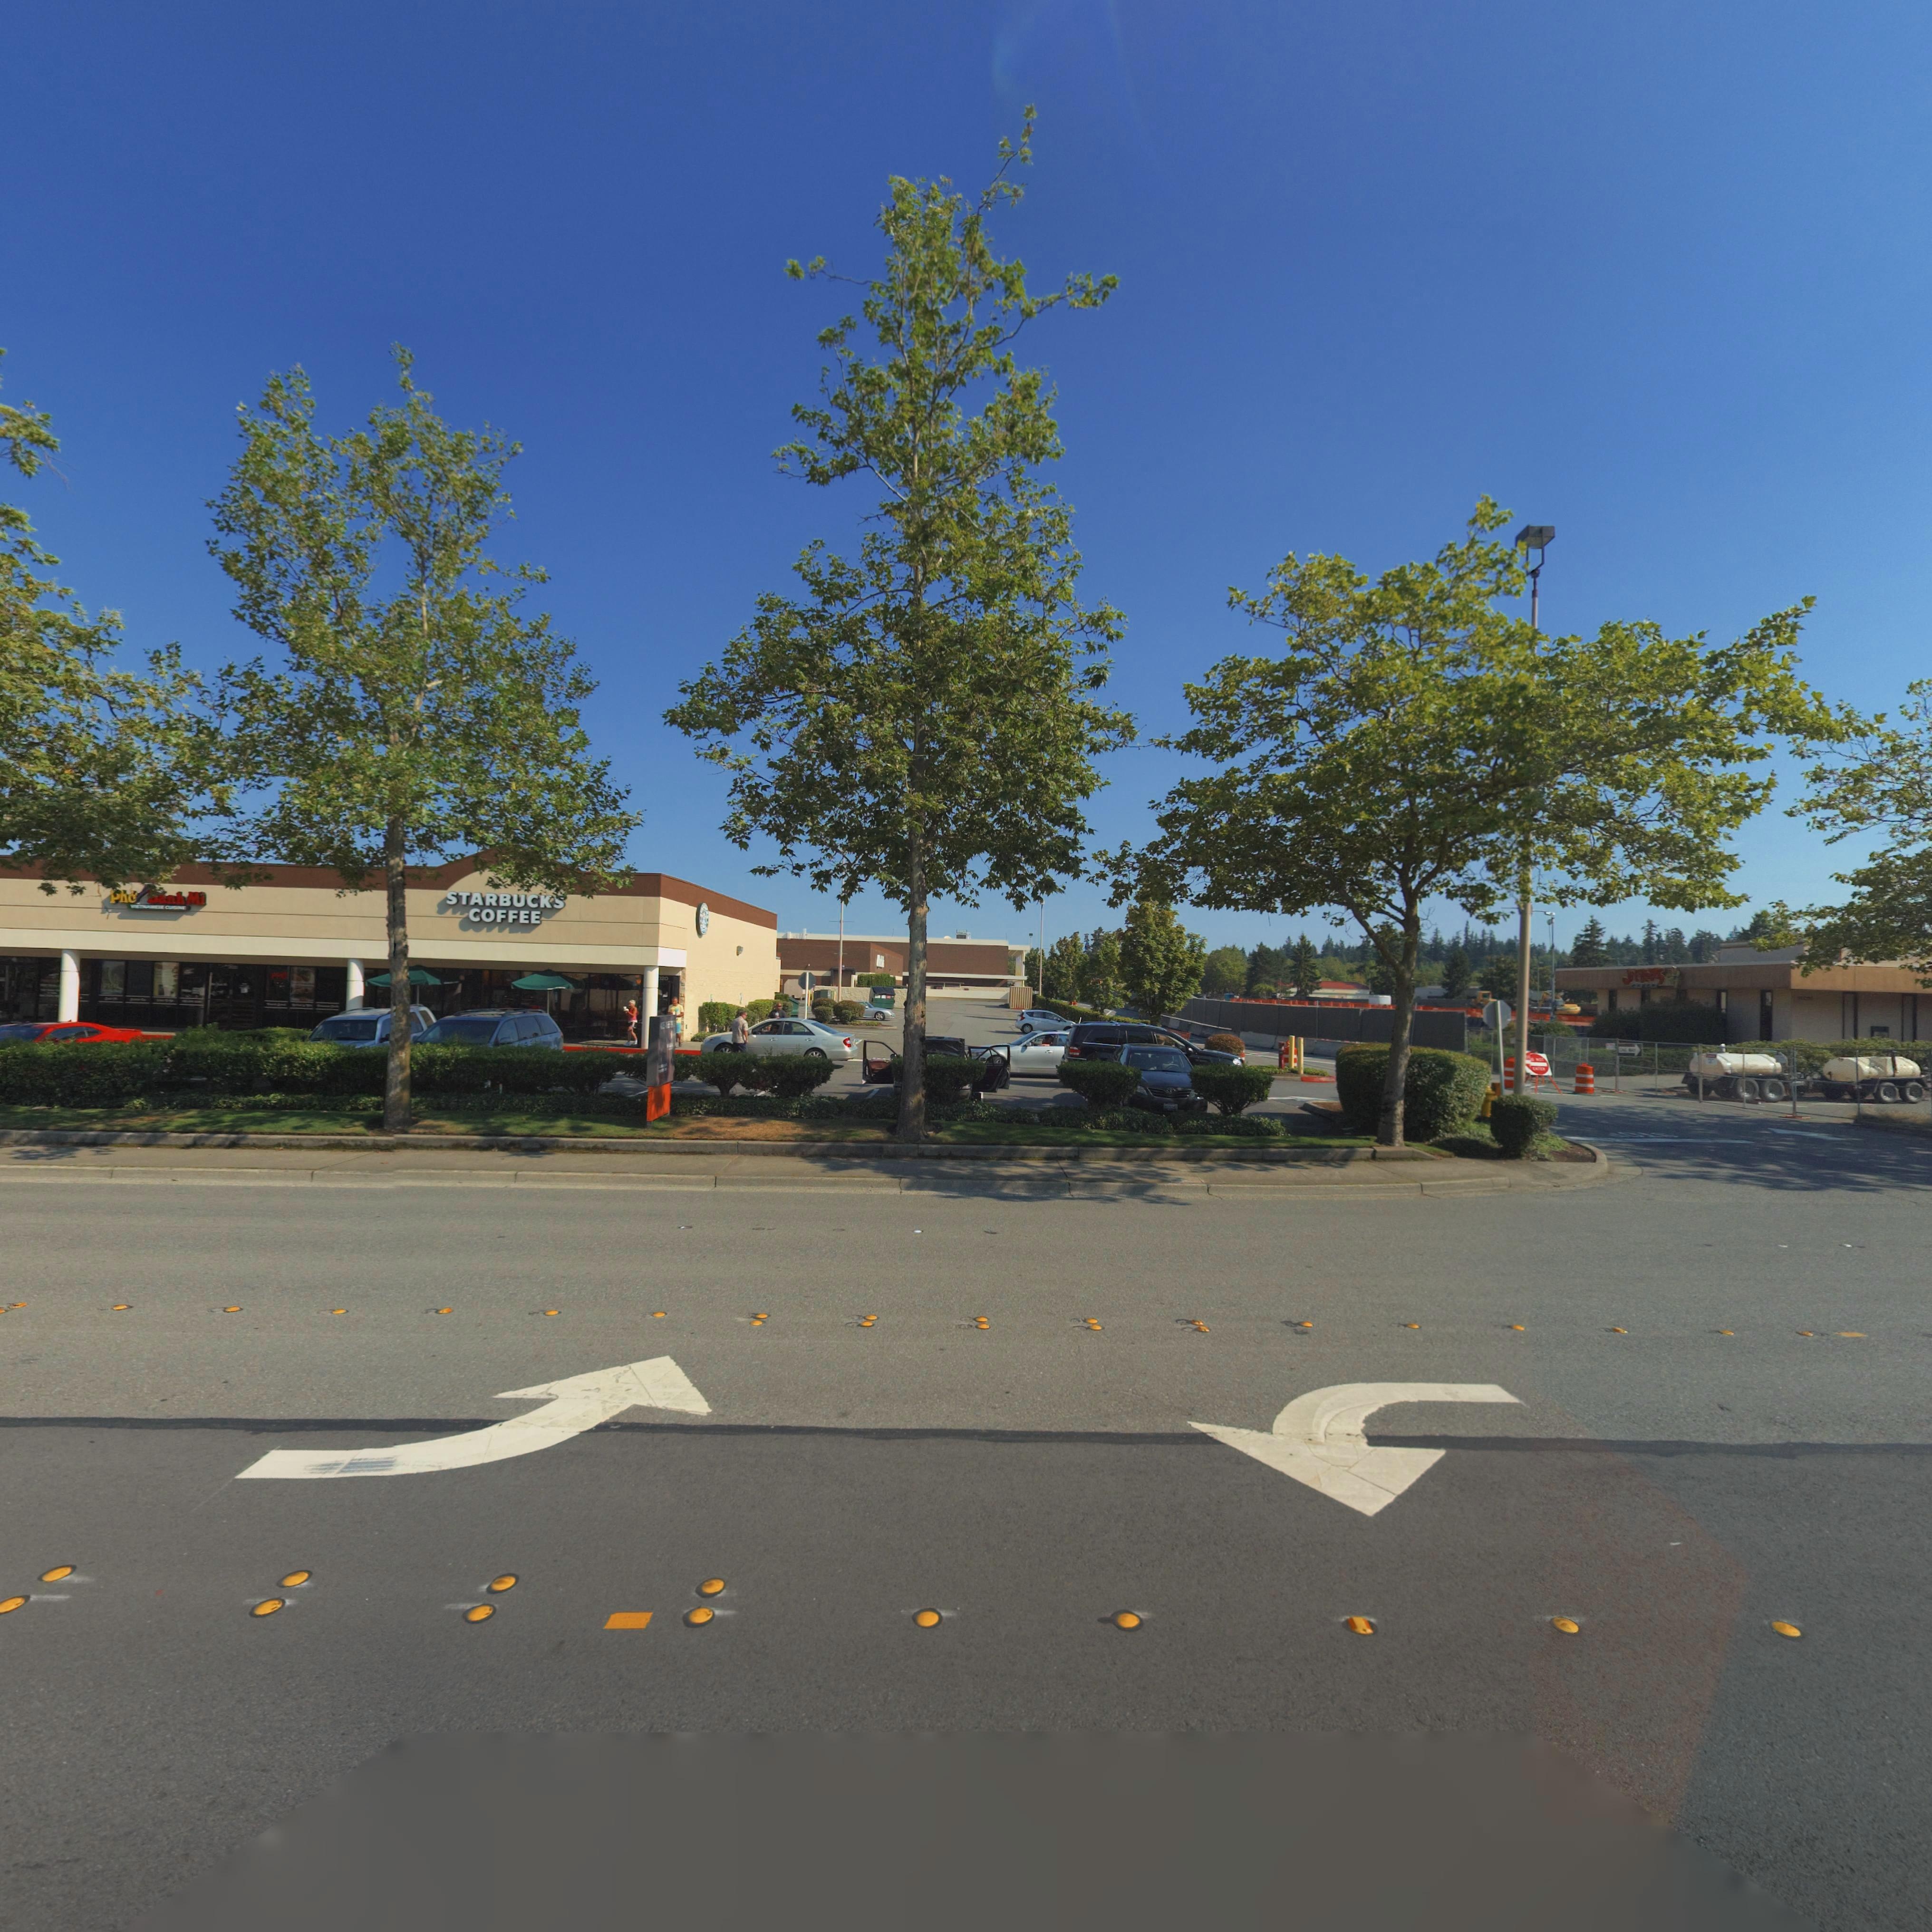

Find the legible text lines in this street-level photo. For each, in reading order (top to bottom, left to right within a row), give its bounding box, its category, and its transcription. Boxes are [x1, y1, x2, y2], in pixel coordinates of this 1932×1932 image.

[108, 889, 207, 906] BusinessName: *h* *anh Mi
[445, 890, 565, 910] BusinessName: STARBUCKS
[469, 908, 542, 925] BusinessName: COFFEES